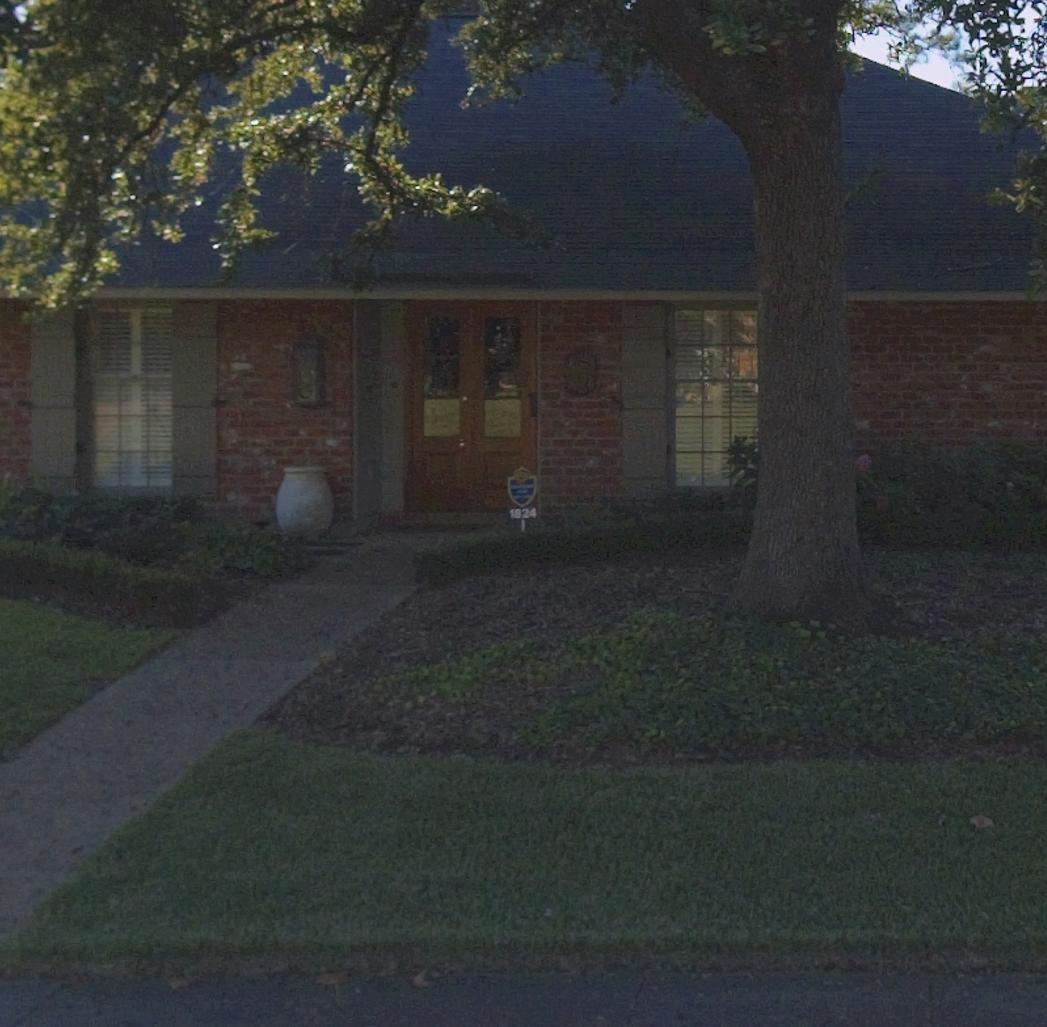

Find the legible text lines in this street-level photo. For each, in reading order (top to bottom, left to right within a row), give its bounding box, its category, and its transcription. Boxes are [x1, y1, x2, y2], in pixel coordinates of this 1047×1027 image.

[508, 506, 538, 520] StreetNumber: 1824